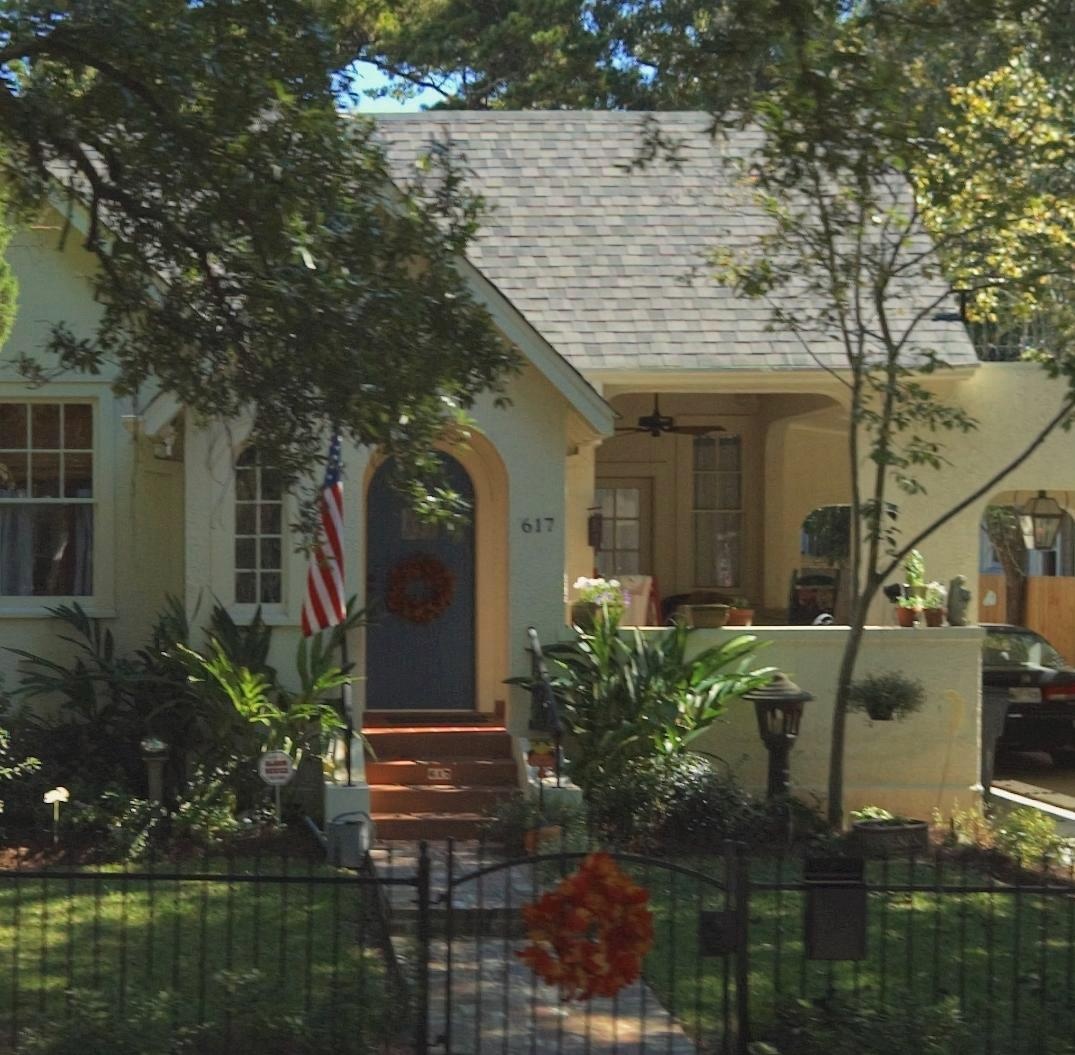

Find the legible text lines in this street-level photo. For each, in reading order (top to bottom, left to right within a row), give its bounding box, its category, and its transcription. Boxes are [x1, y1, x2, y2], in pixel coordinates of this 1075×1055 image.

[519, 515, 557, 535] StreetNumber: 617